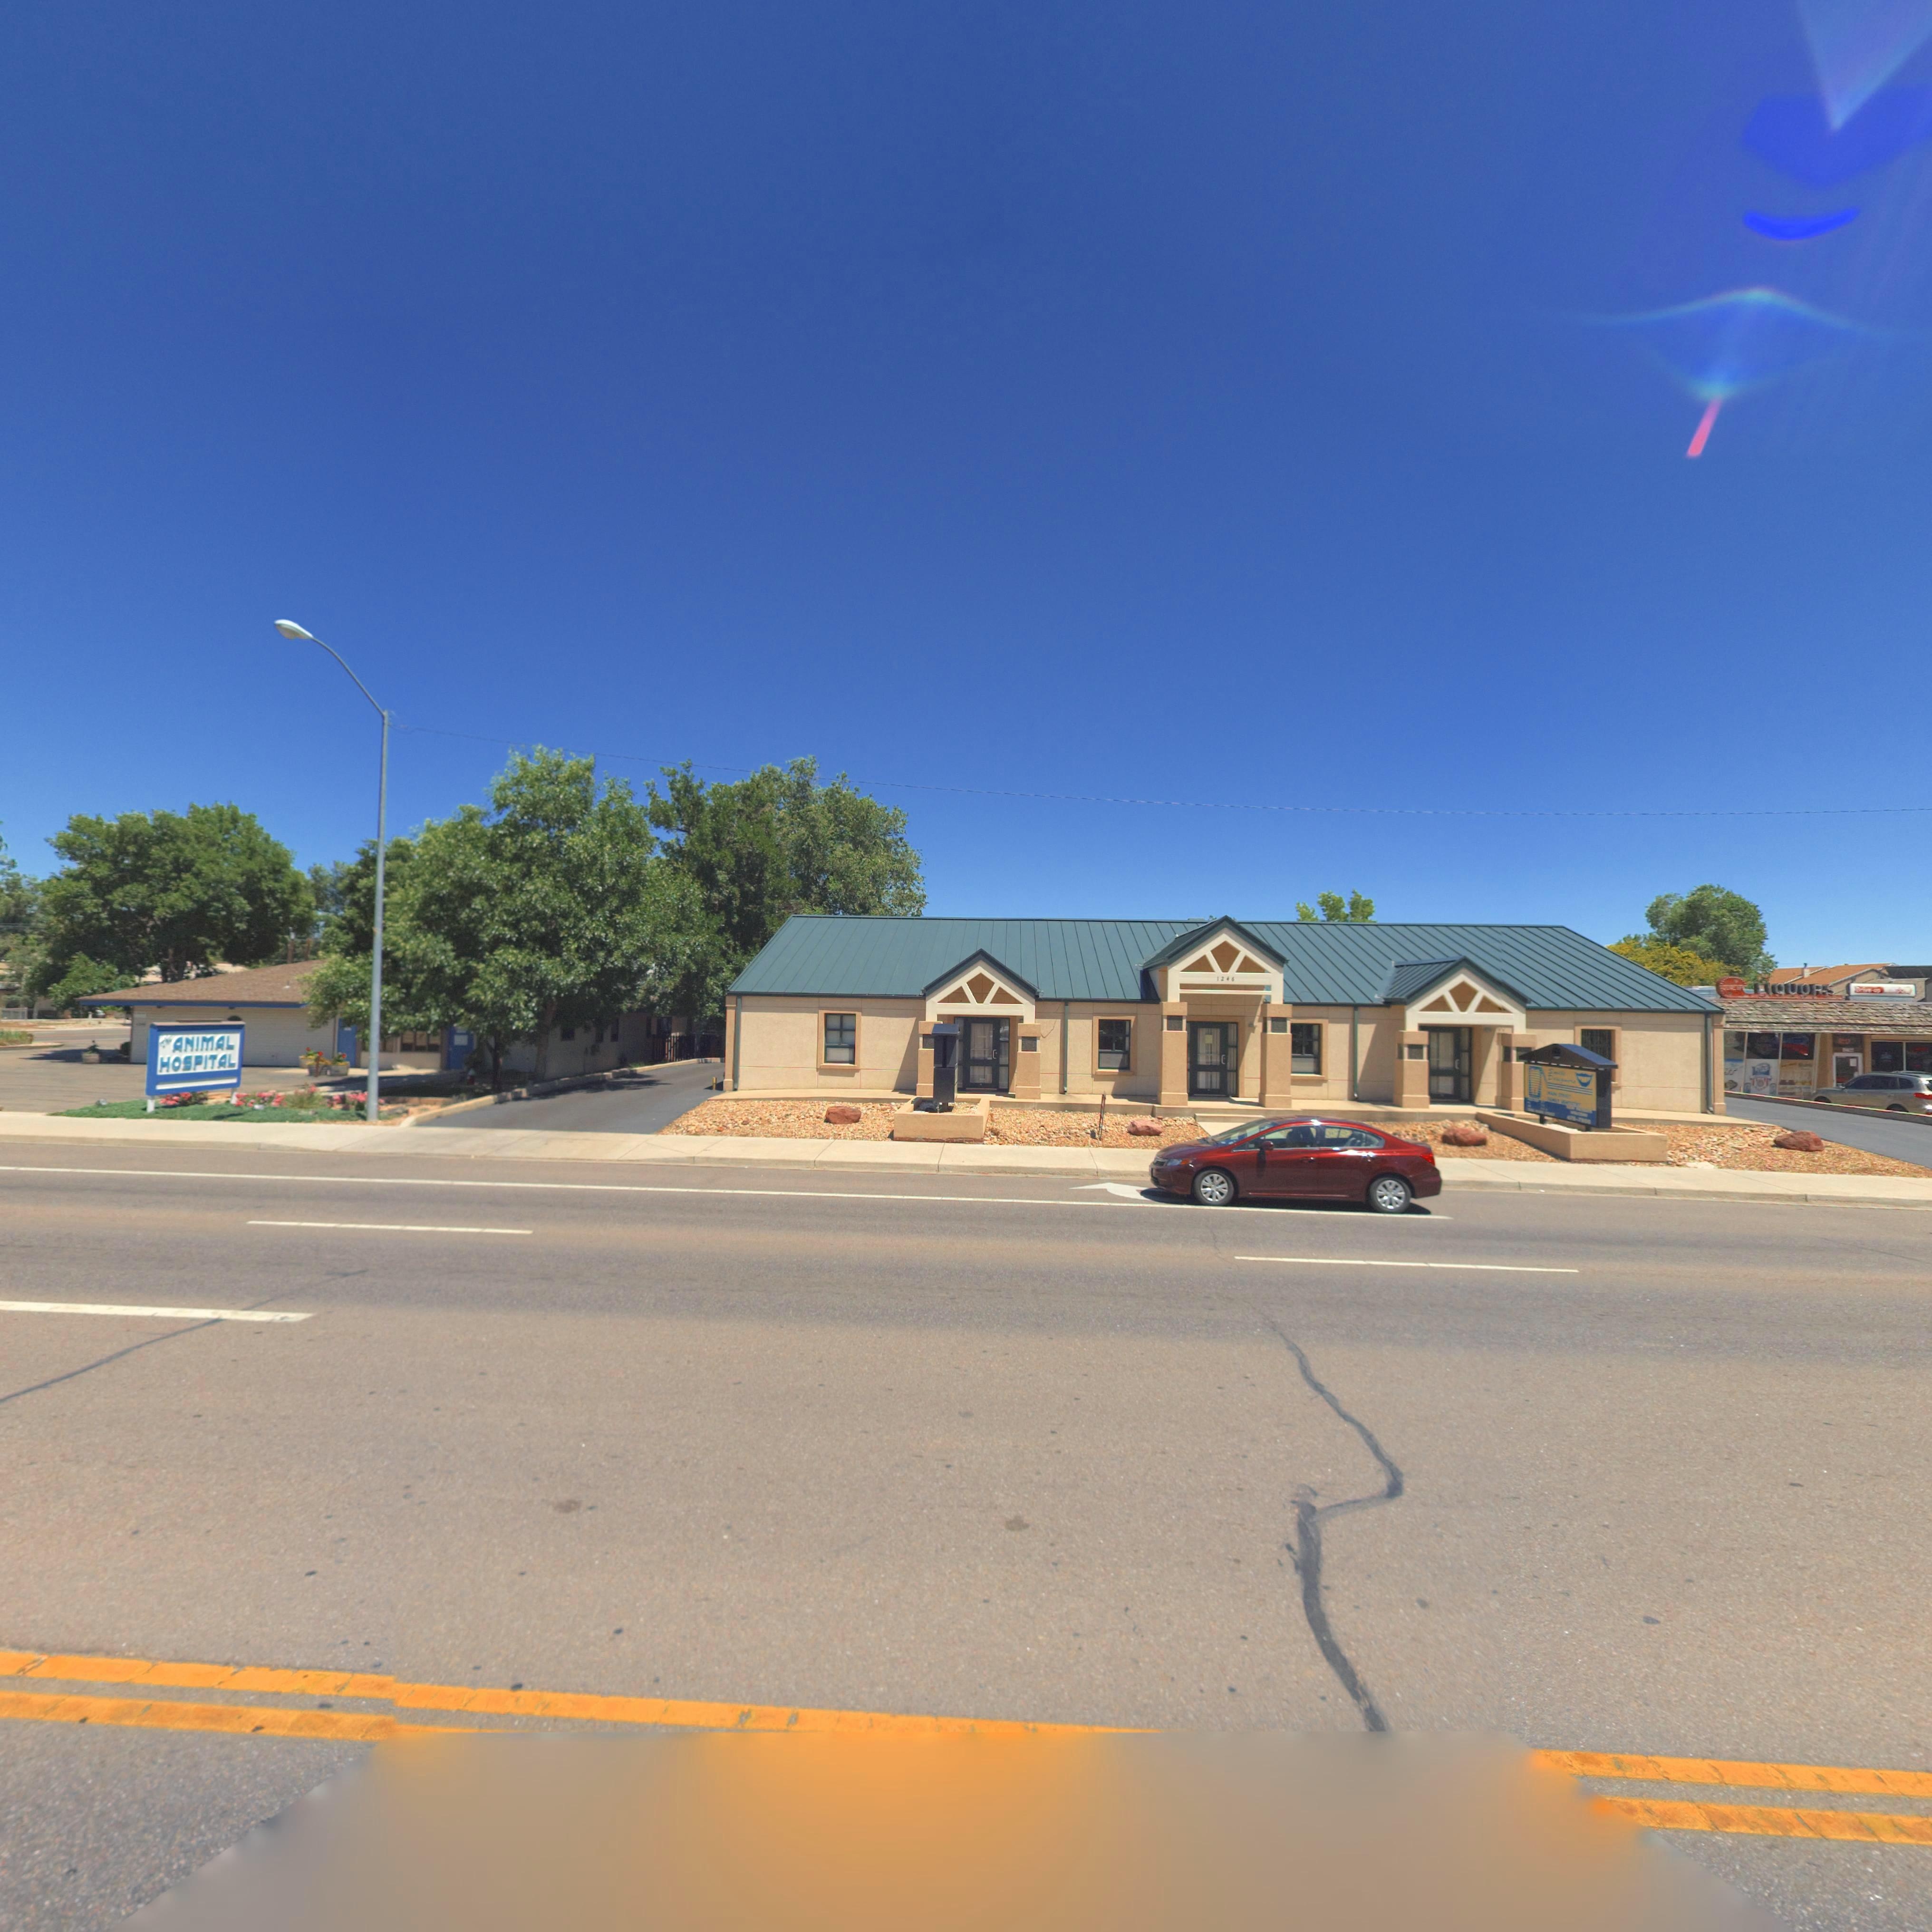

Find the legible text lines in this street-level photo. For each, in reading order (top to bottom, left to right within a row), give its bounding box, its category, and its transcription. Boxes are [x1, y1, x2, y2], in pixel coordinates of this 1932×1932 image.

[1216, 976, 1236, 982] StreetNumber: 1246
[1721, 984, 1745, 991] BusinessName: QUALITY
[1754, 983, 1835, 995] BusinessName: LIQUORS
[158, 1034, 175, 1049] BusinessName: The
[171, 1034, 235, 1053] BusinessName: ANIMAL
[159, 1053, 236, 1072] BusinessName: HOSPITAL
[1547, 1068, 1566, 1076] BusinessName: Smile
[1547, 1074, 1575, 1083] BusinessName: Designers
[1547, 1091, 1571, 1099] StreetName: MAIN STREET
[1526, 1107, 1534, 1112] StreetNumber: 1***
[1534, 1108, 1555, 1117] StreetName: MAIN STREET